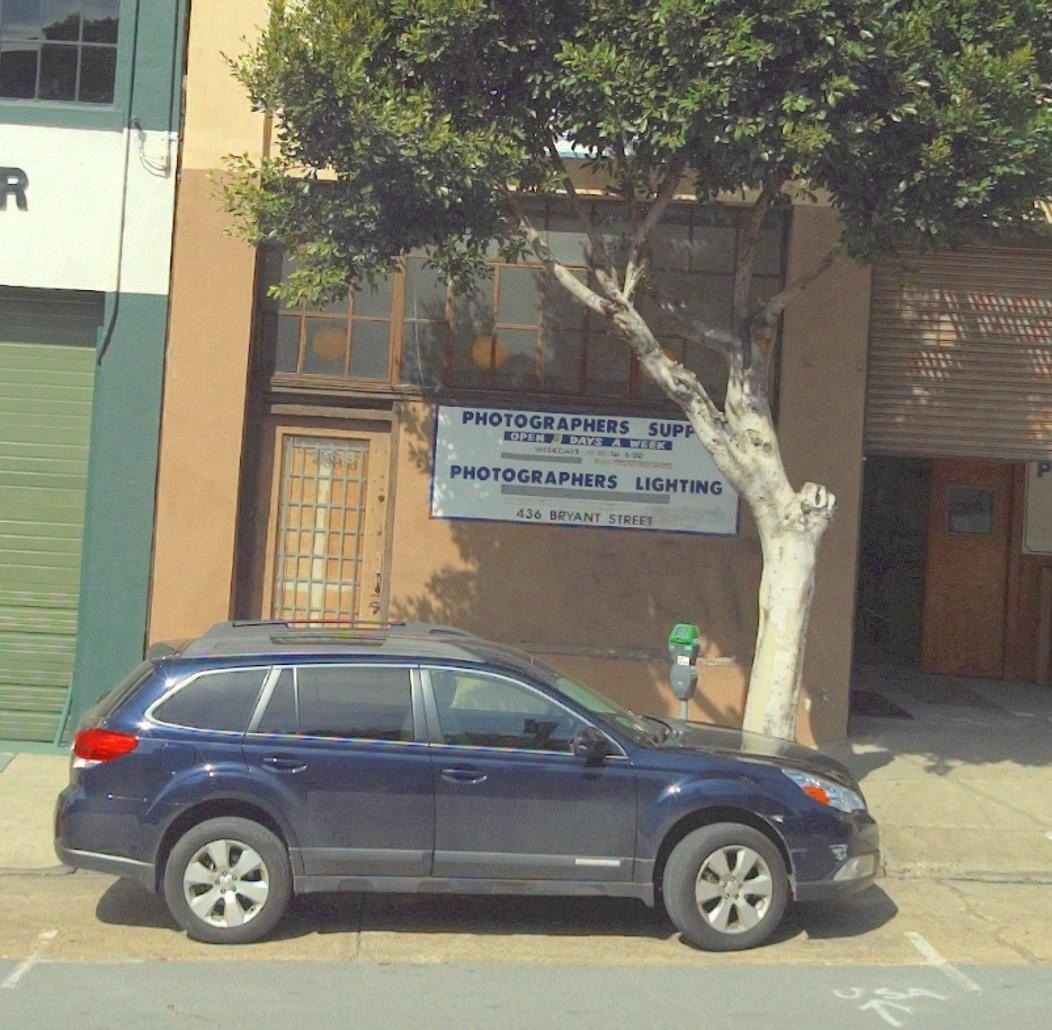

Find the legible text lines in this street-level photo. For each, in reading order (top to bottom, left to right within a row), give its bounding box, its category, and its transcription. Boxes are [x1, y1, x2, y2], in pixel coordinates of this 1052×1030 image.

[0, 163, 35, 216] None: R
[457, 405, 688, 443] BusinessName: PHOTOGRAPHERS SUP
[531, 442, 582, 458] None: WEEKDAYS
[505, 428, 670, 453] None: OPEN DAYS A WEEK
[445, 460, 729, 499] BusinessName: PHOTOGRAPHERS LIGHTING
[515, 506, 545, 522] StreetNumber: 436
[543, 507, 650, 529] StreetName: BRYANT STREE
[824, 983, 954, 1004] None: USA